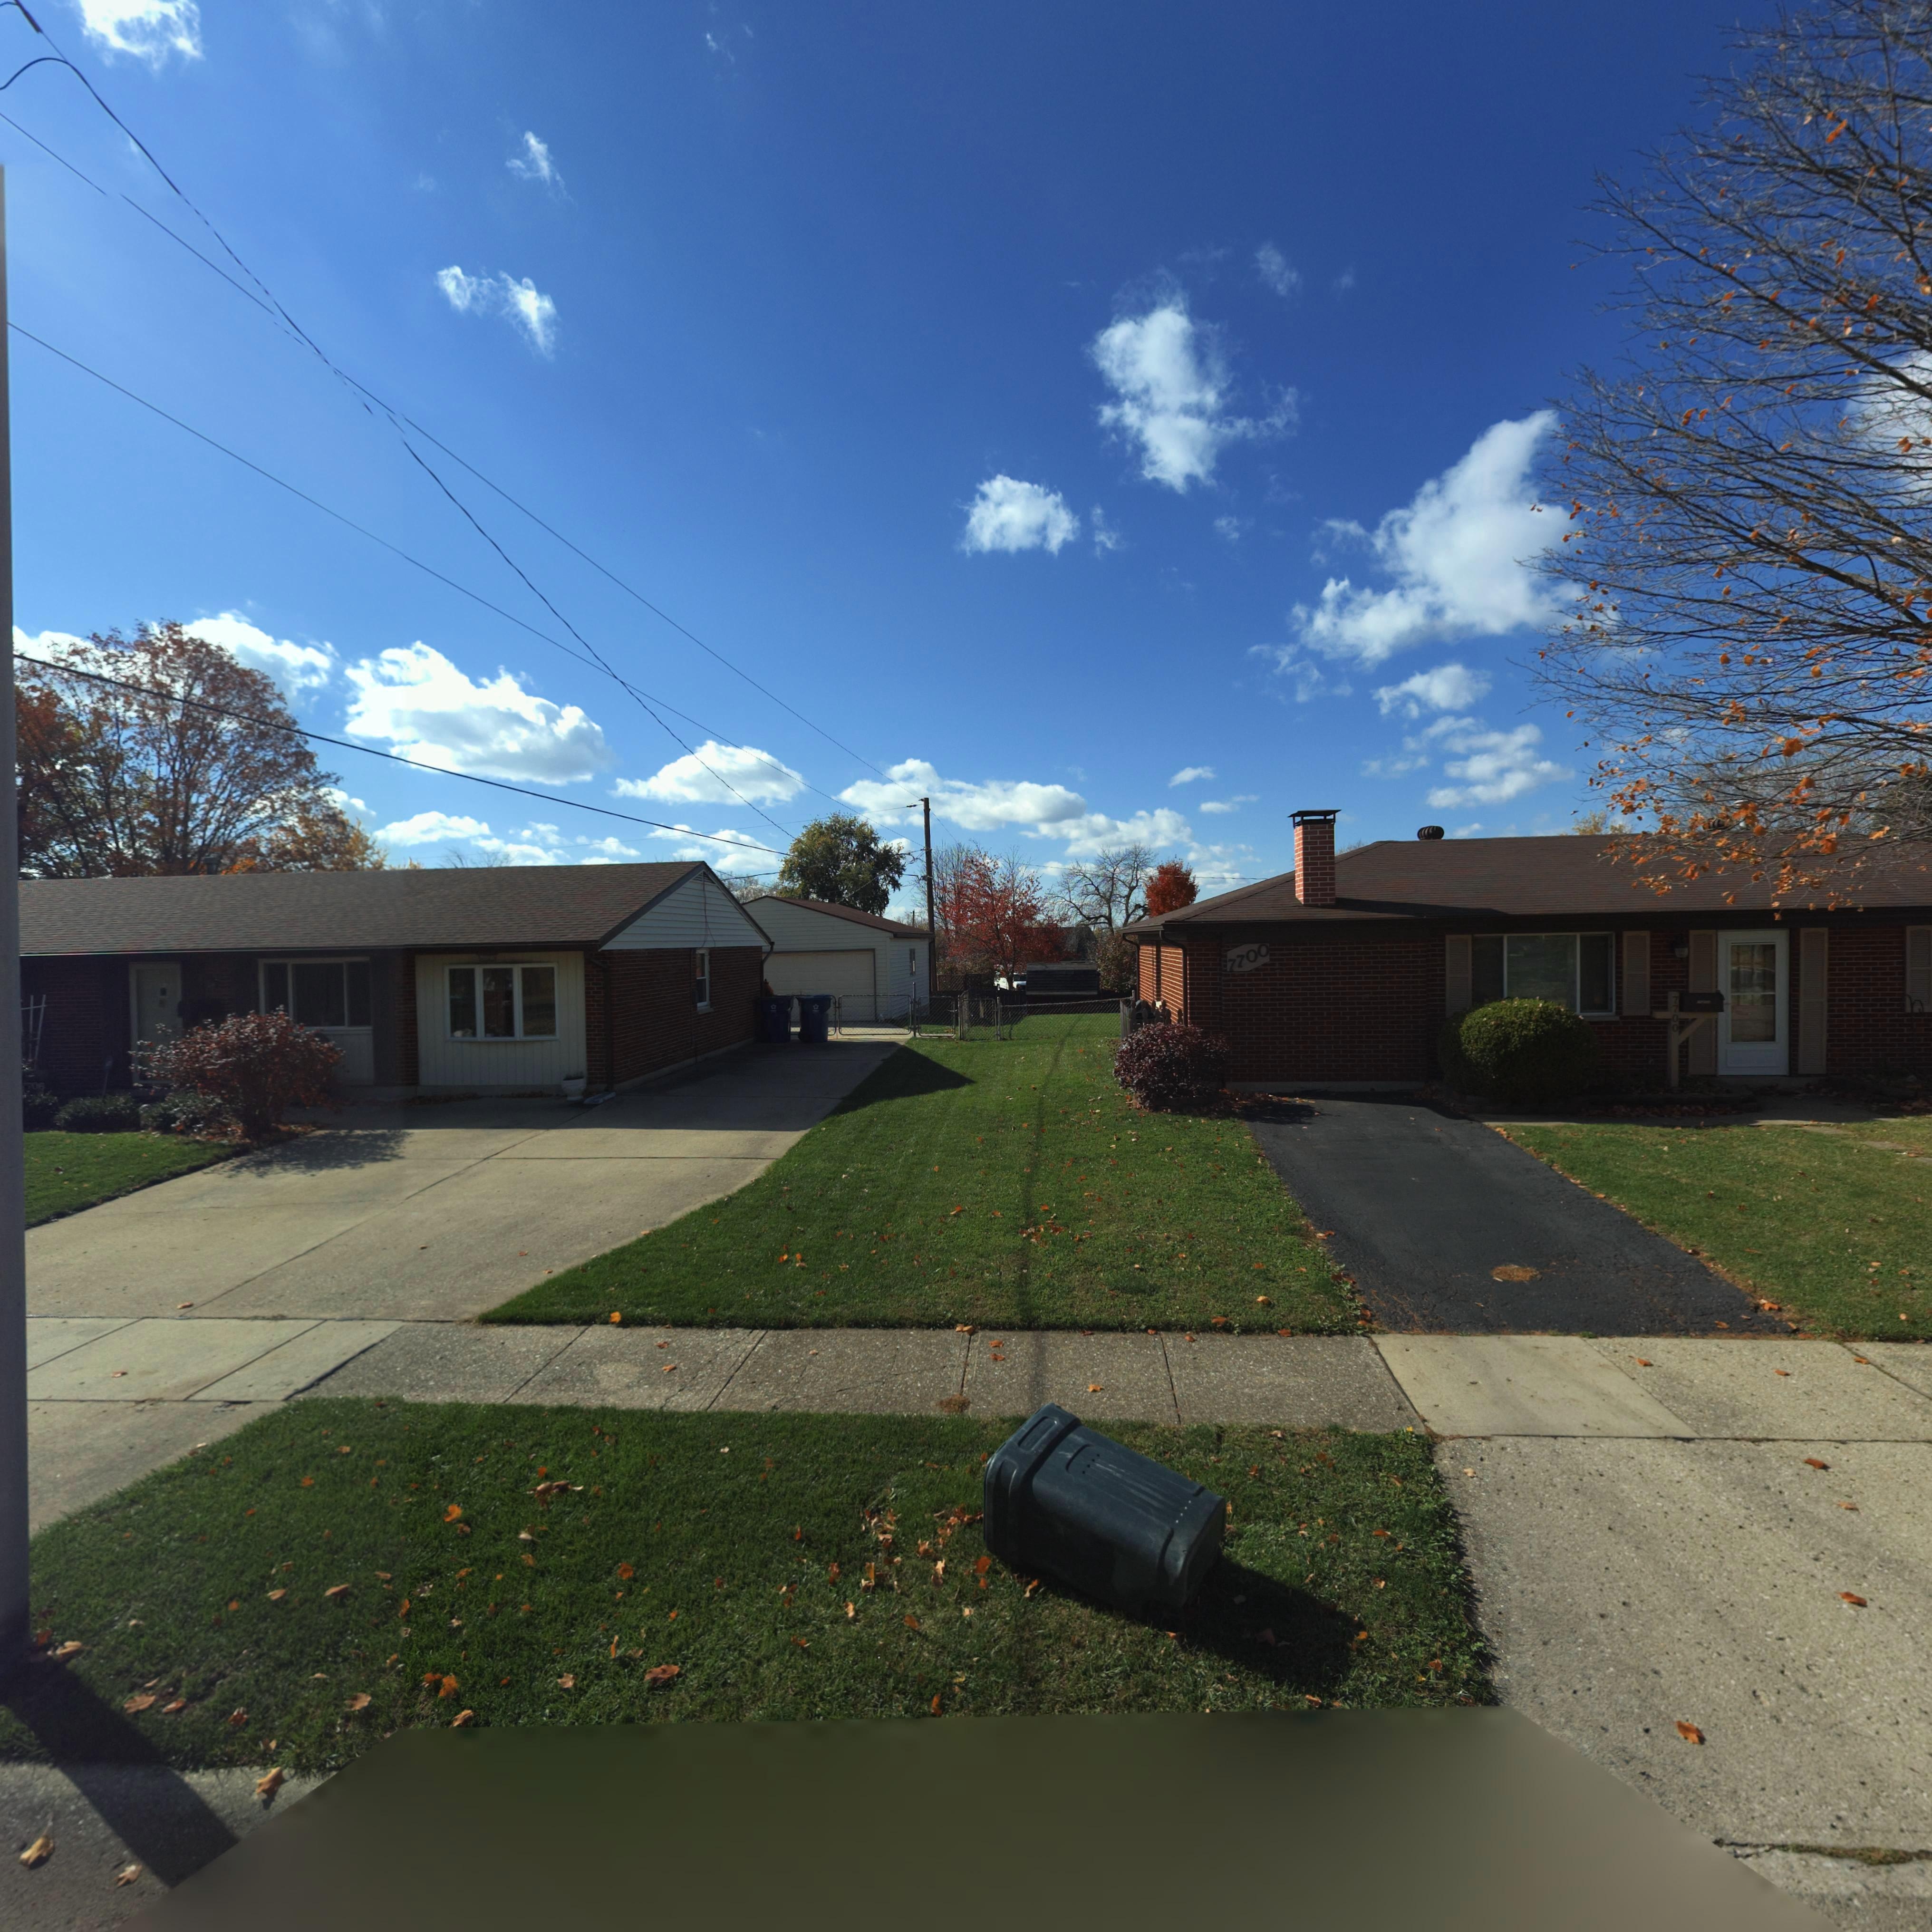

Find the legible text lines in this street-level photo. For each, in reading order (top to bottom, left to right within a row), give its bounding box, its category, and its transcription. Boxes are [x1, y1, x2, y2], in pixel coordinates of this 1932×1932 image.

[1227, 943, 1270, 972] StreetNumber: 7700
[1671, 995, 1679, 1033] StreetNumber: 7700